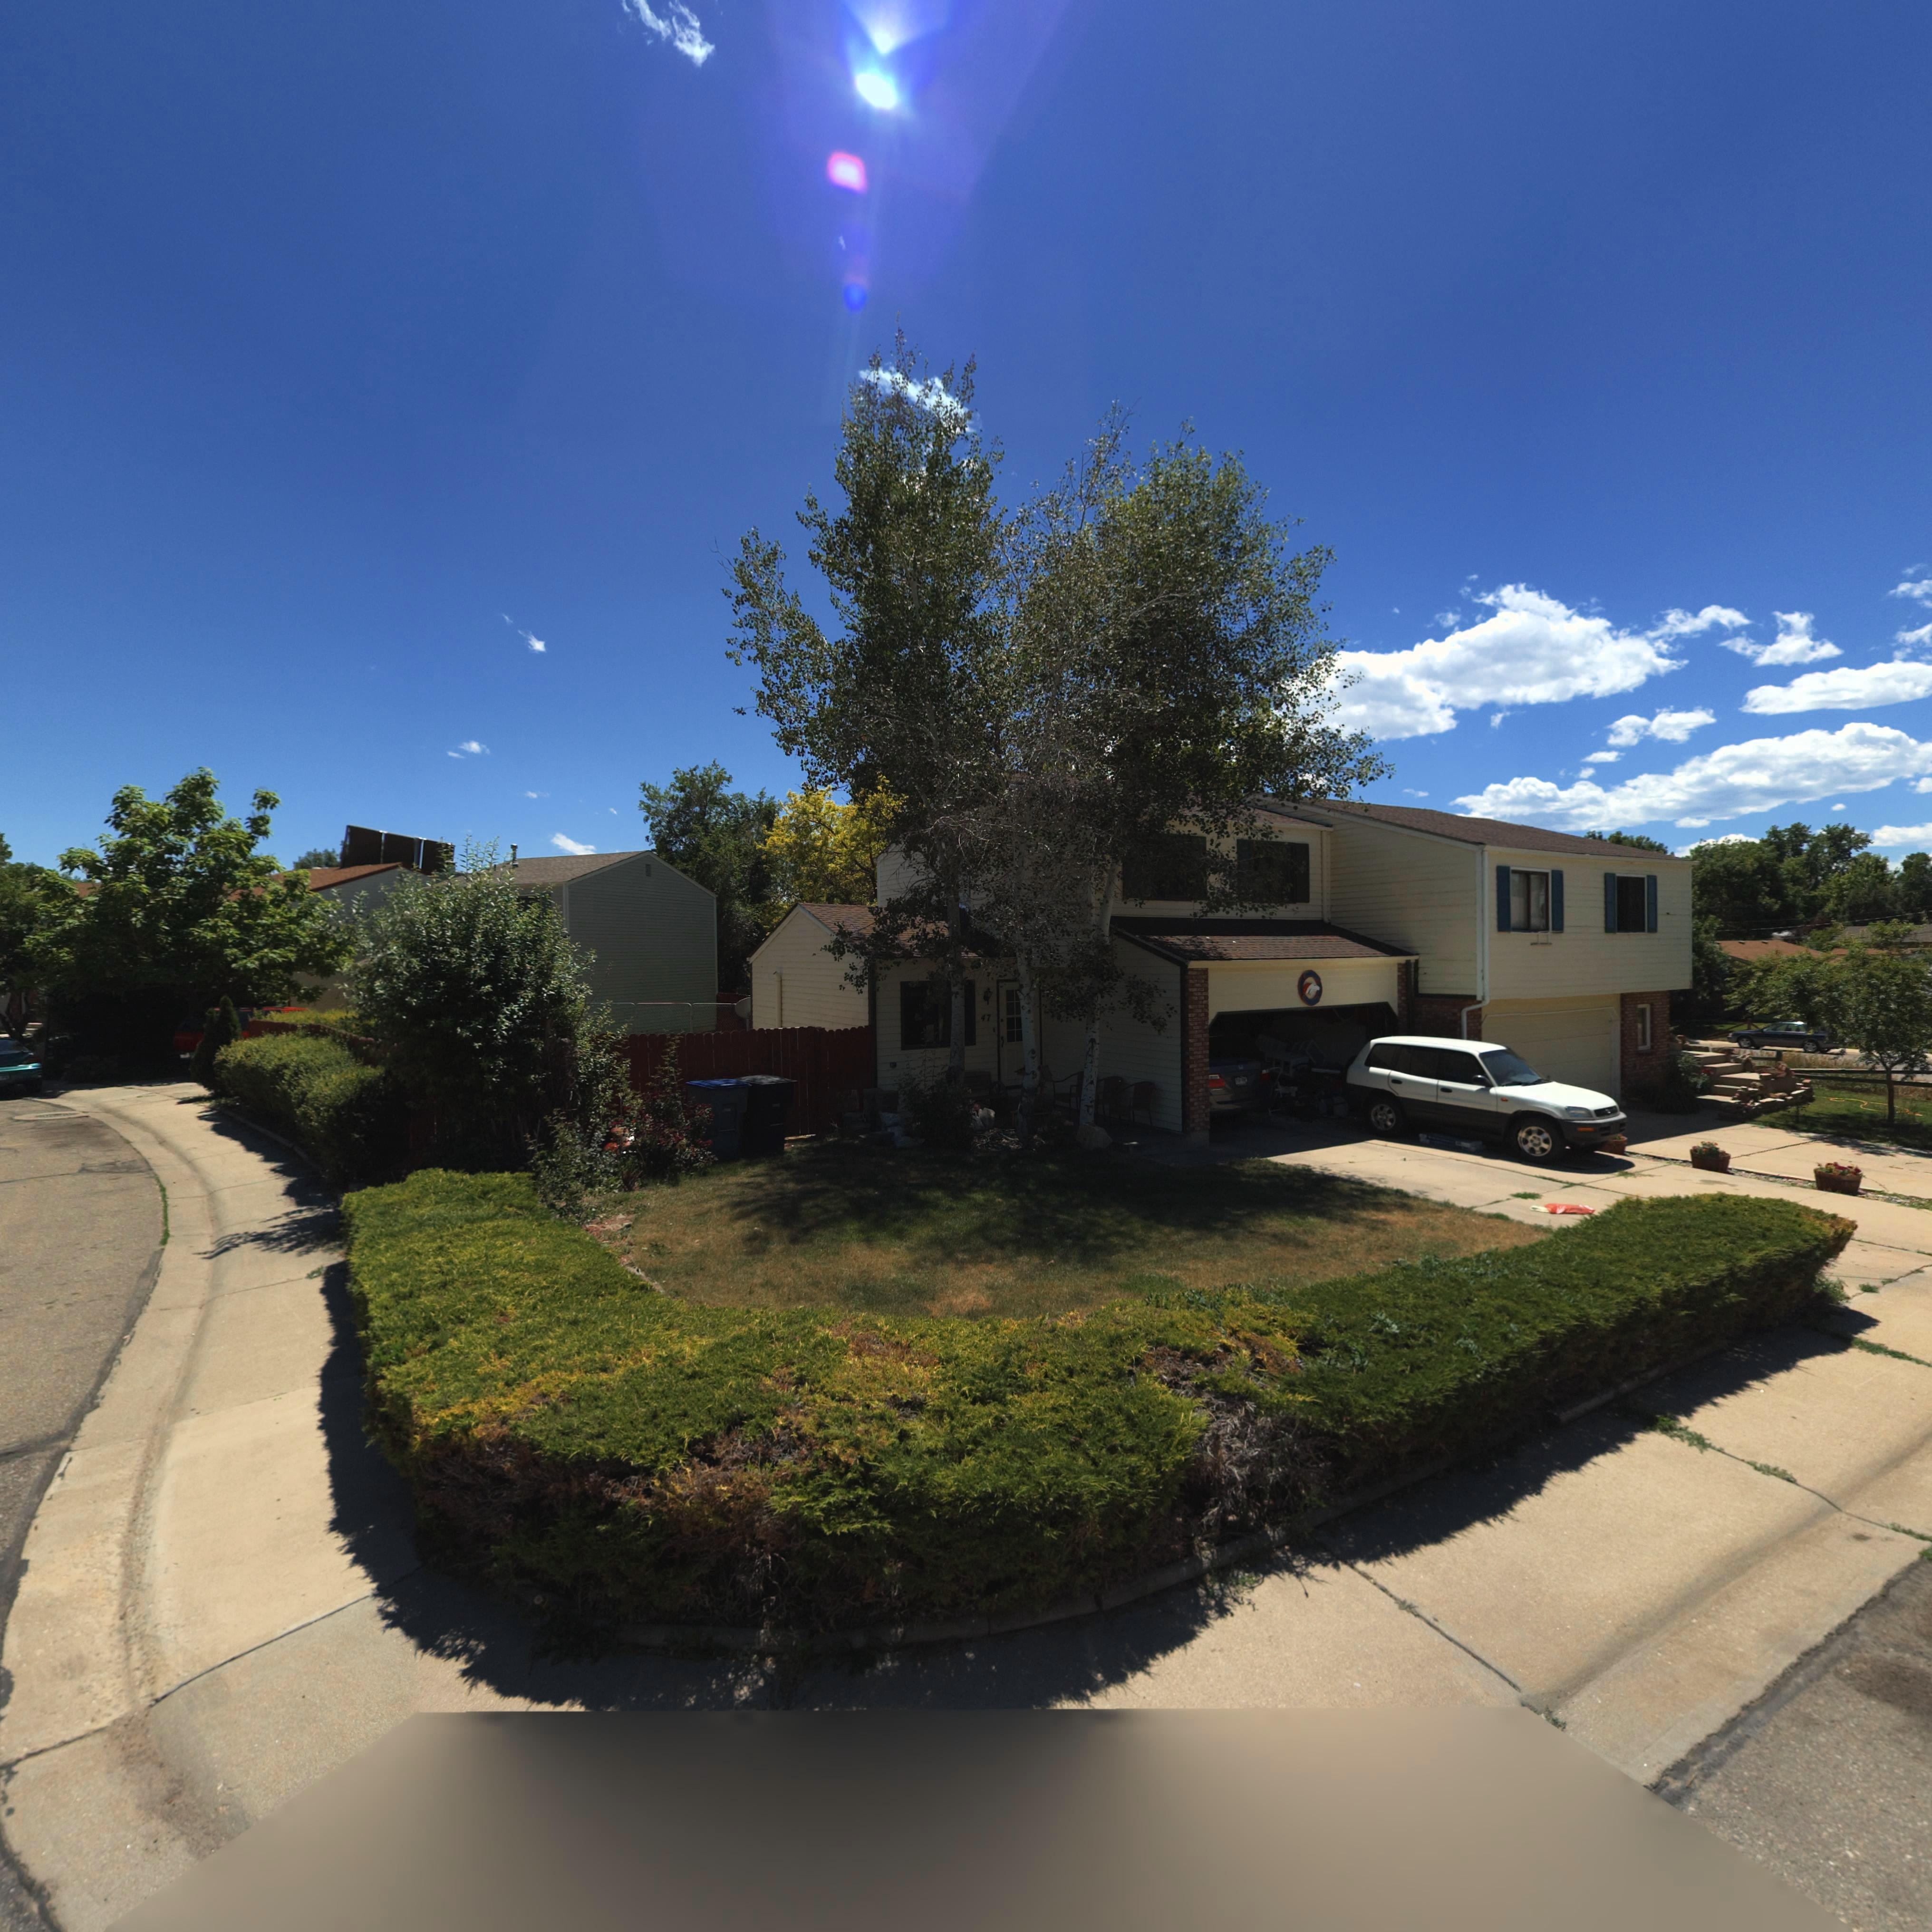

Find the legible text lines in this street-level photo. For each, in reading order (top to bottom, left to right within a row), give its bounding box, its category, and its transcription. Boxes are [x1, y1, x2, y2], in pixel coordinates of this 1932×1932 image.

[980, 1014, 992, 1022] StreetNumber: 47